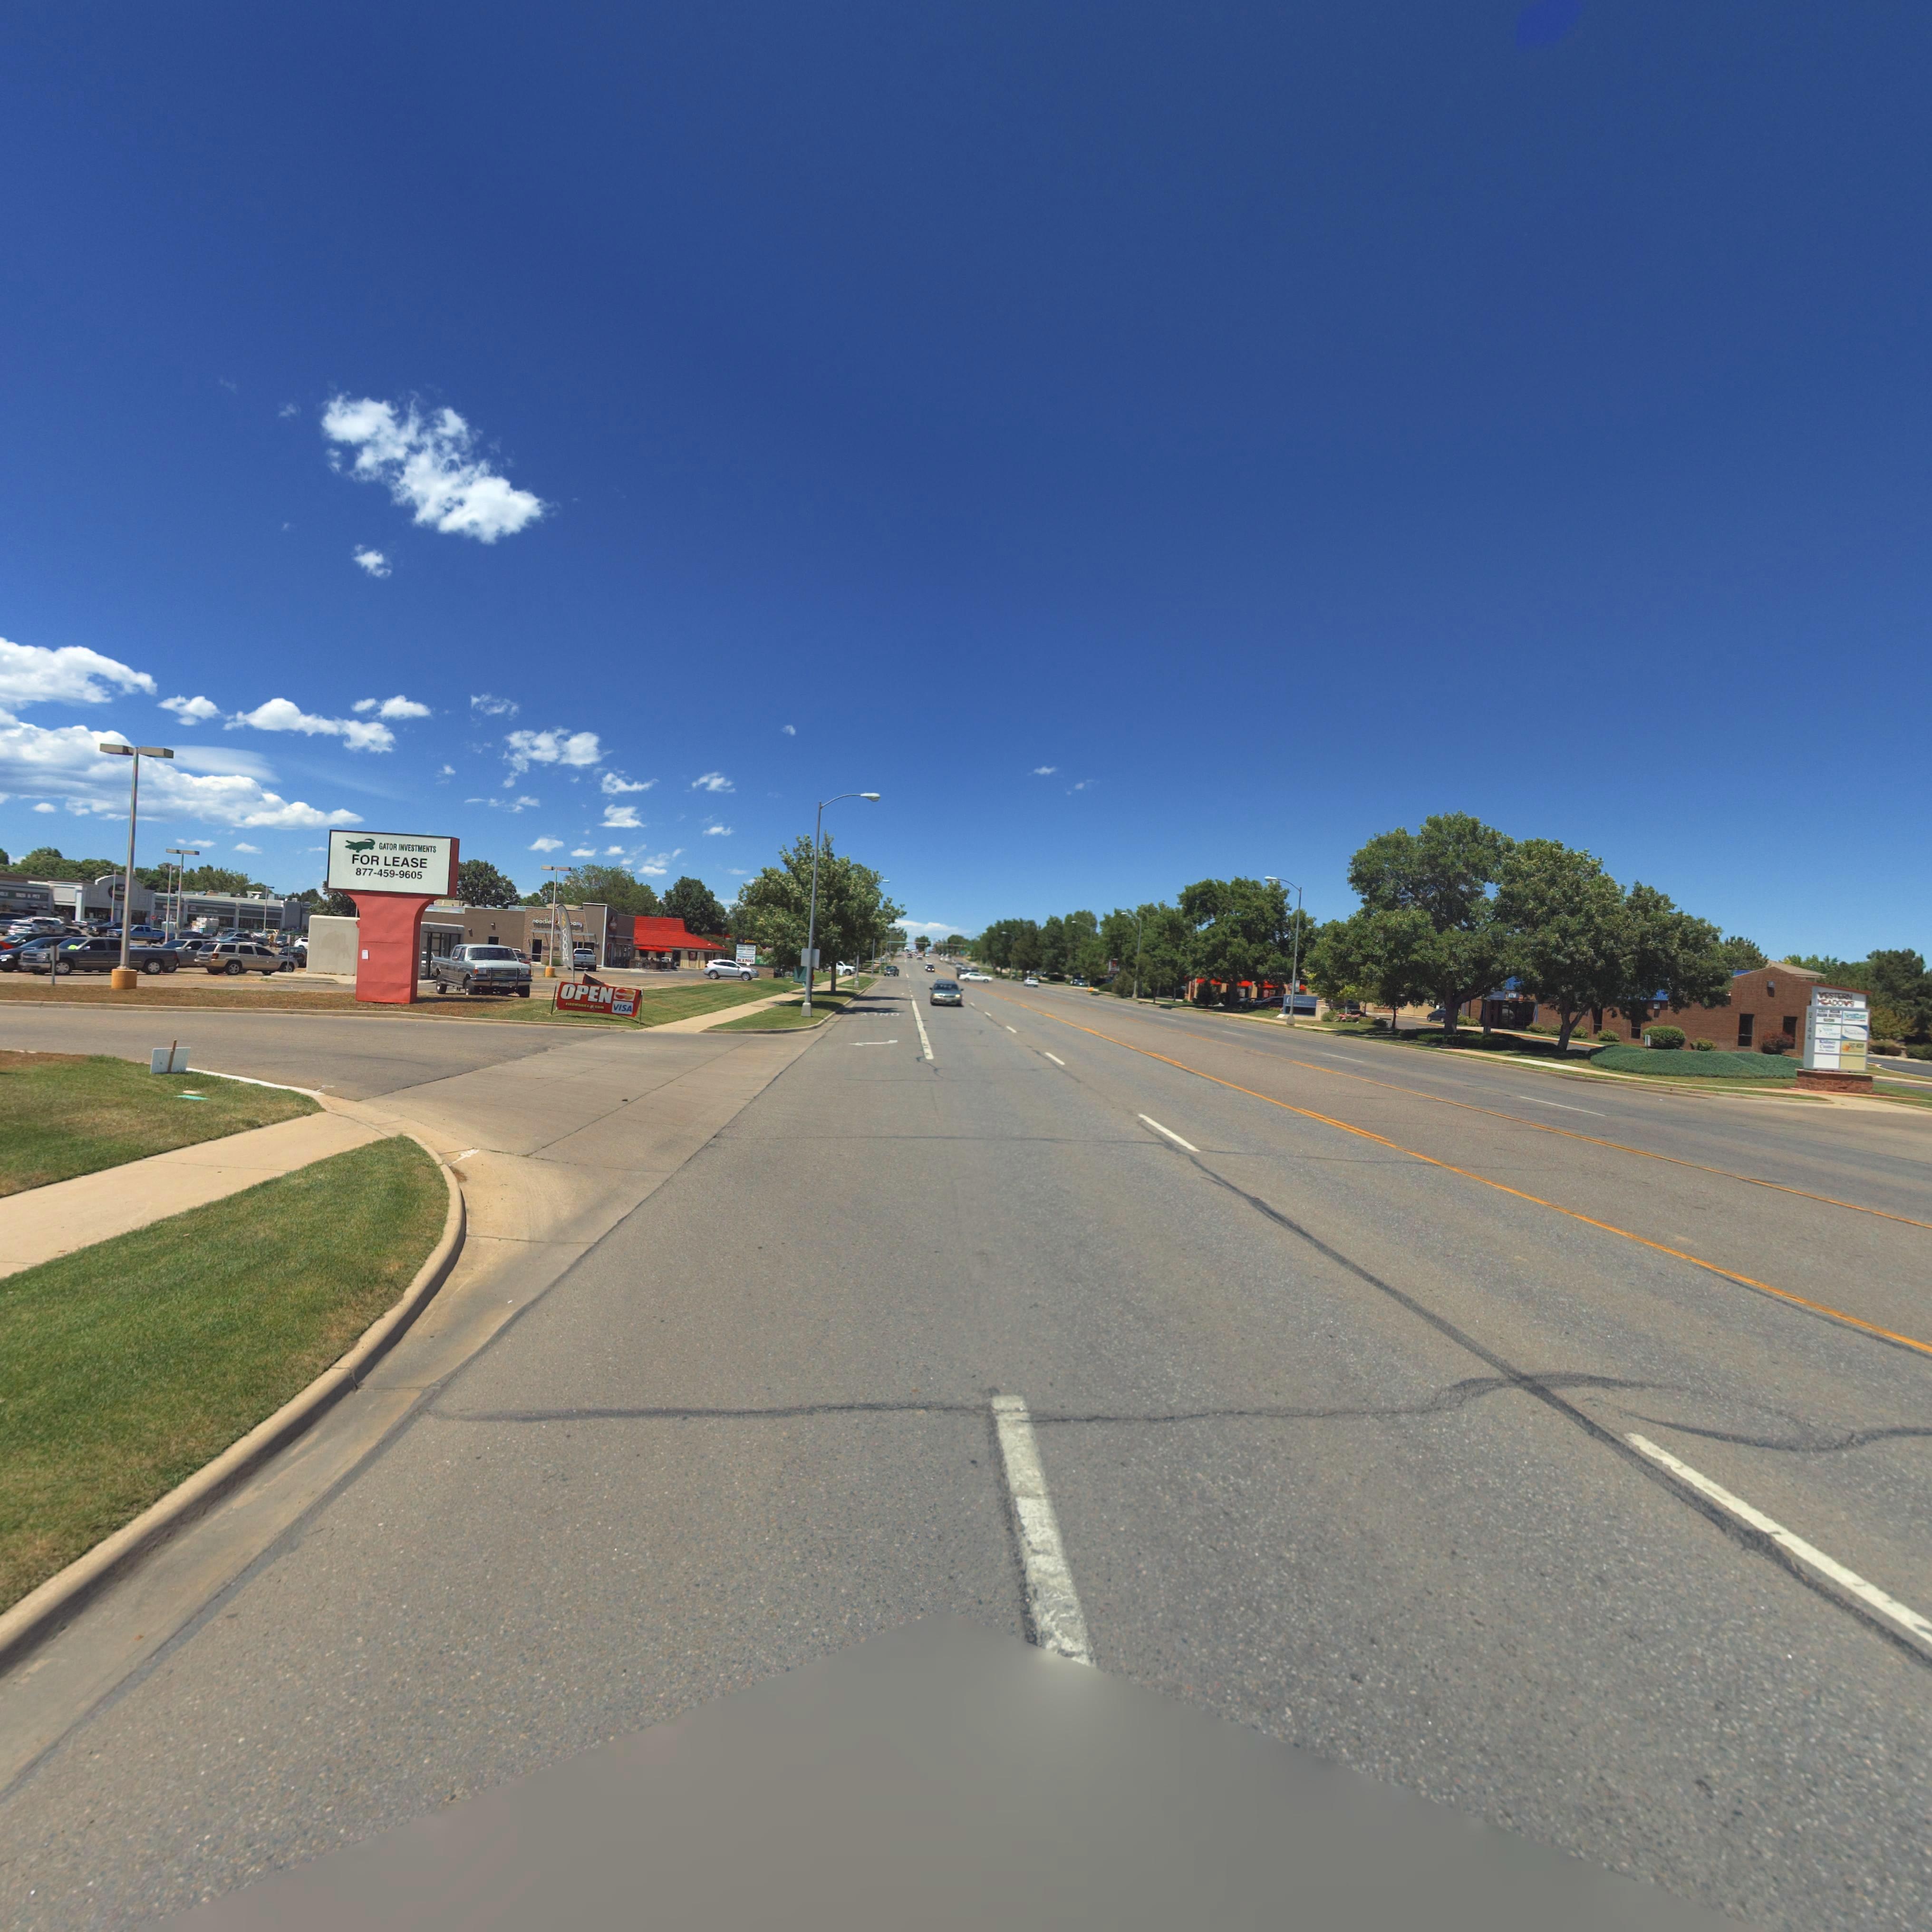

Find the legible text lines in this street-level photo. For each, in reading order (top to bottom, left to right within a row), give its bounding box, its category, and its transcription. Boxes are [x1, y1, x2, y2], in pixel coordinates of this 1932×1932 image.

[532, 918, 582, 927] BusinessName: noodle*&****a*y
[756, 956, 763, 960] BusinessName: DO
[737, 958, 753, 963] BusinessName: KING
[759, 960, 768, 965] BusinessName: T***
[1806, 1011, 1813, 1040] StreetNumber: 2144